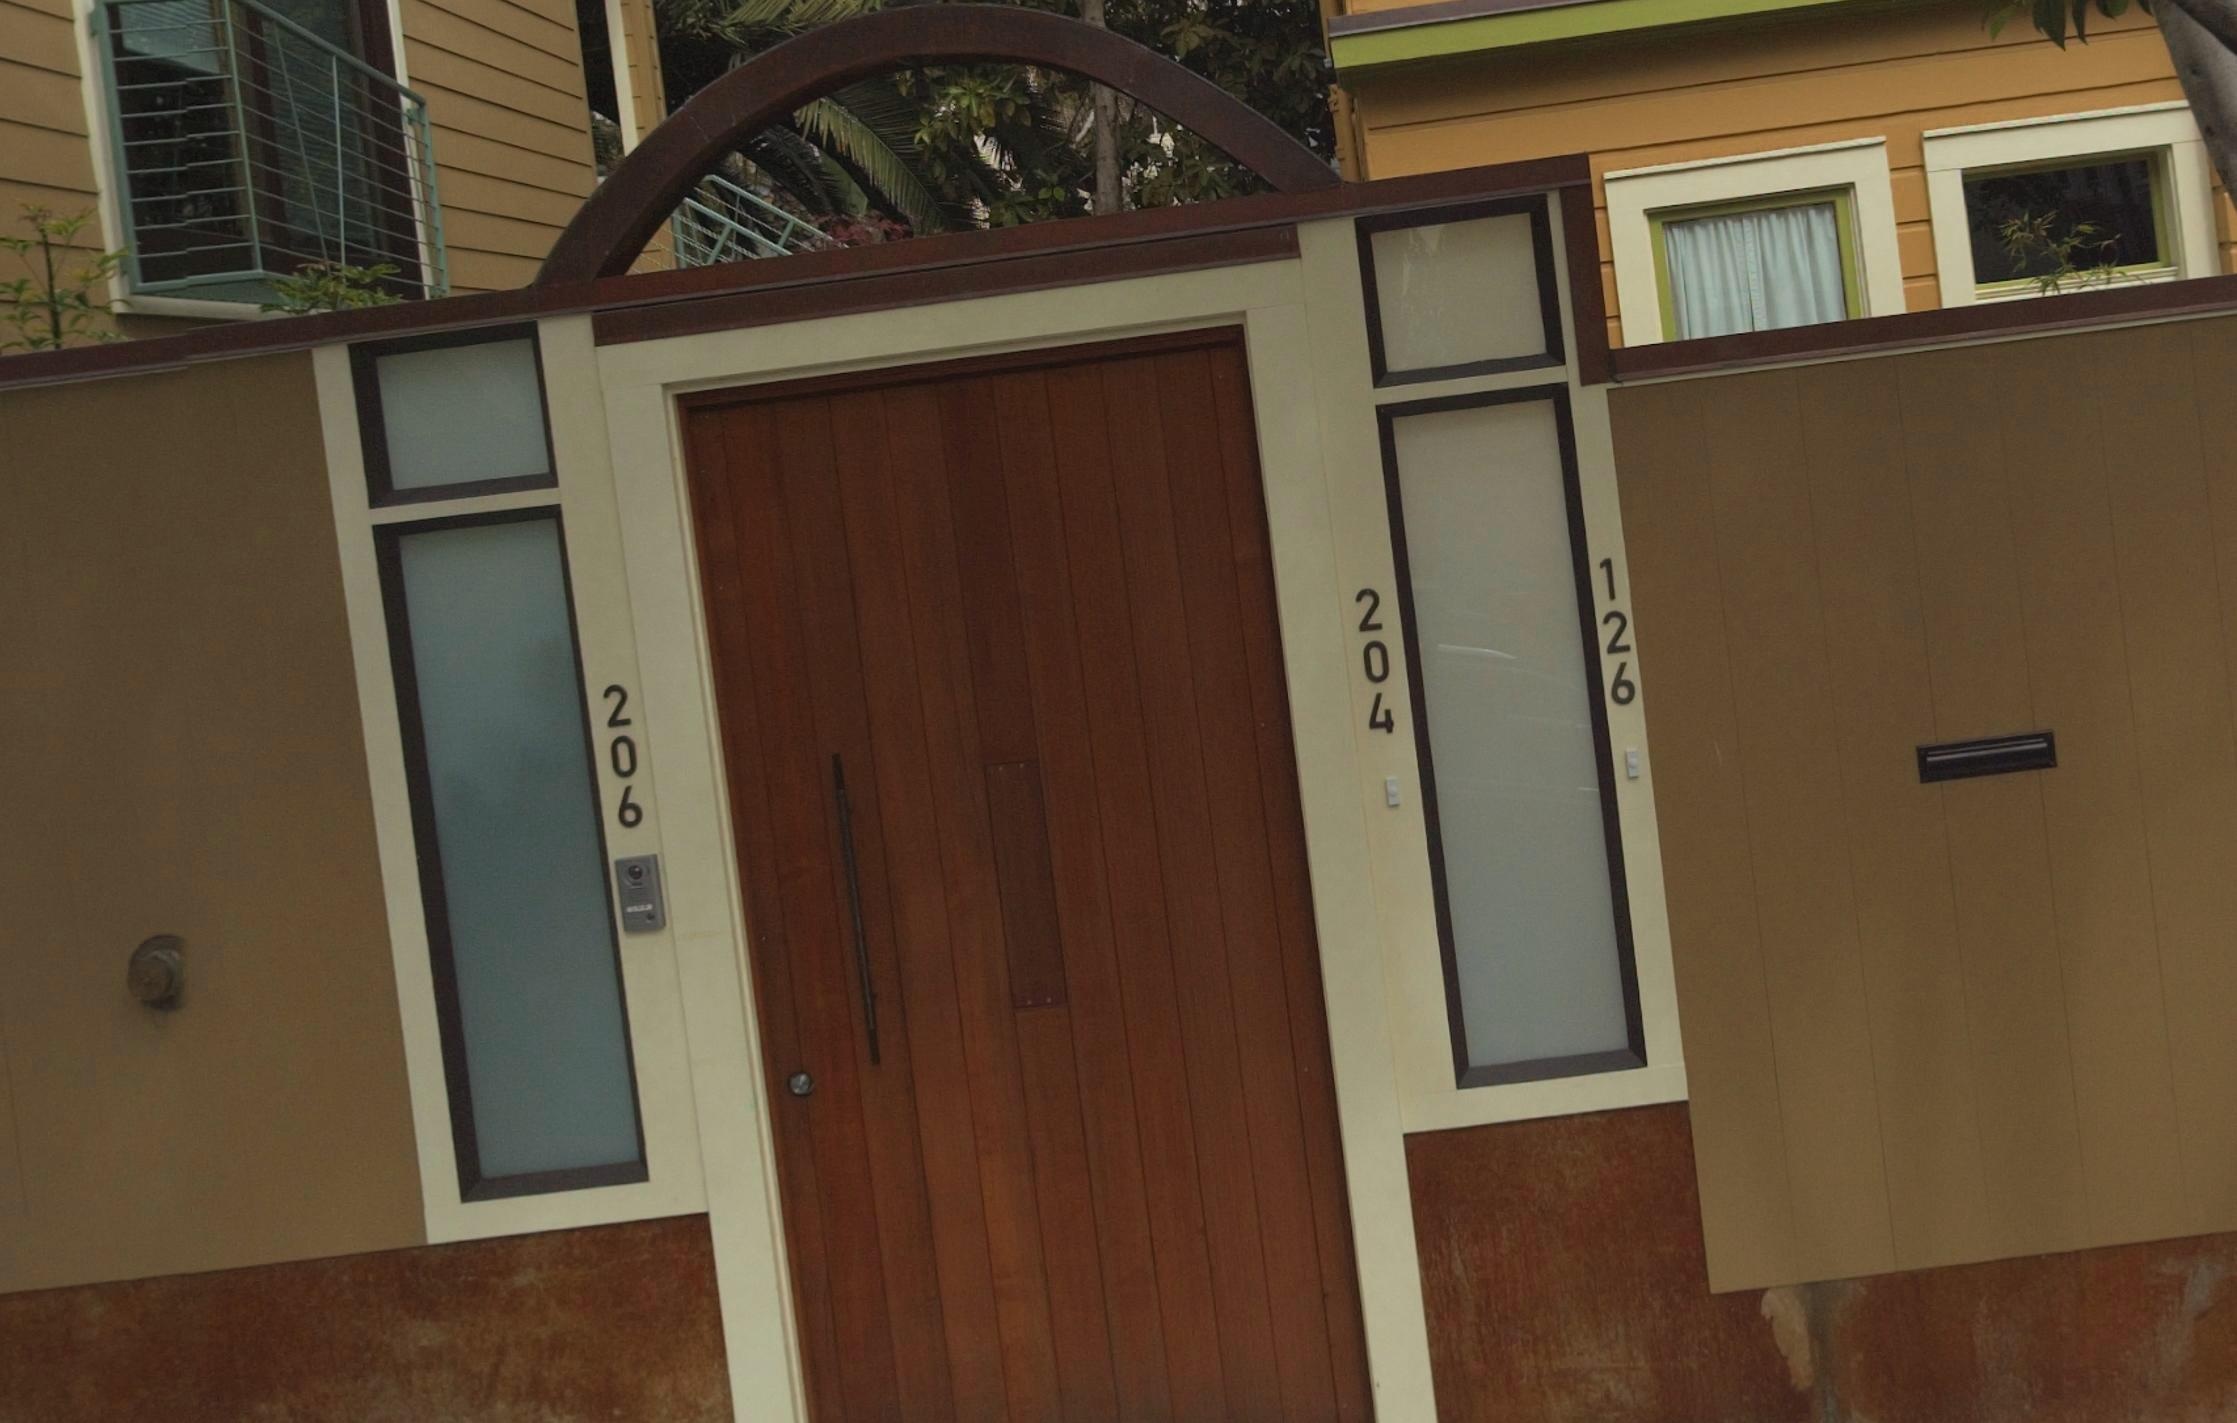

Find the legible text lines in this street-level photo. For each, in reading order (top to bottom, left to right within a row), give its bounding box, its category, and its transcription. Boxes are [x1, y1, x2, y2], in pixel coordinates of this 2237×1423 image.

[1347, 583, 1402, 740] StreetNumber: 204
[1588, 553, 1643, 712] StreetNumber: 126
[598, 678, 649, 834] StreetNumber: 206